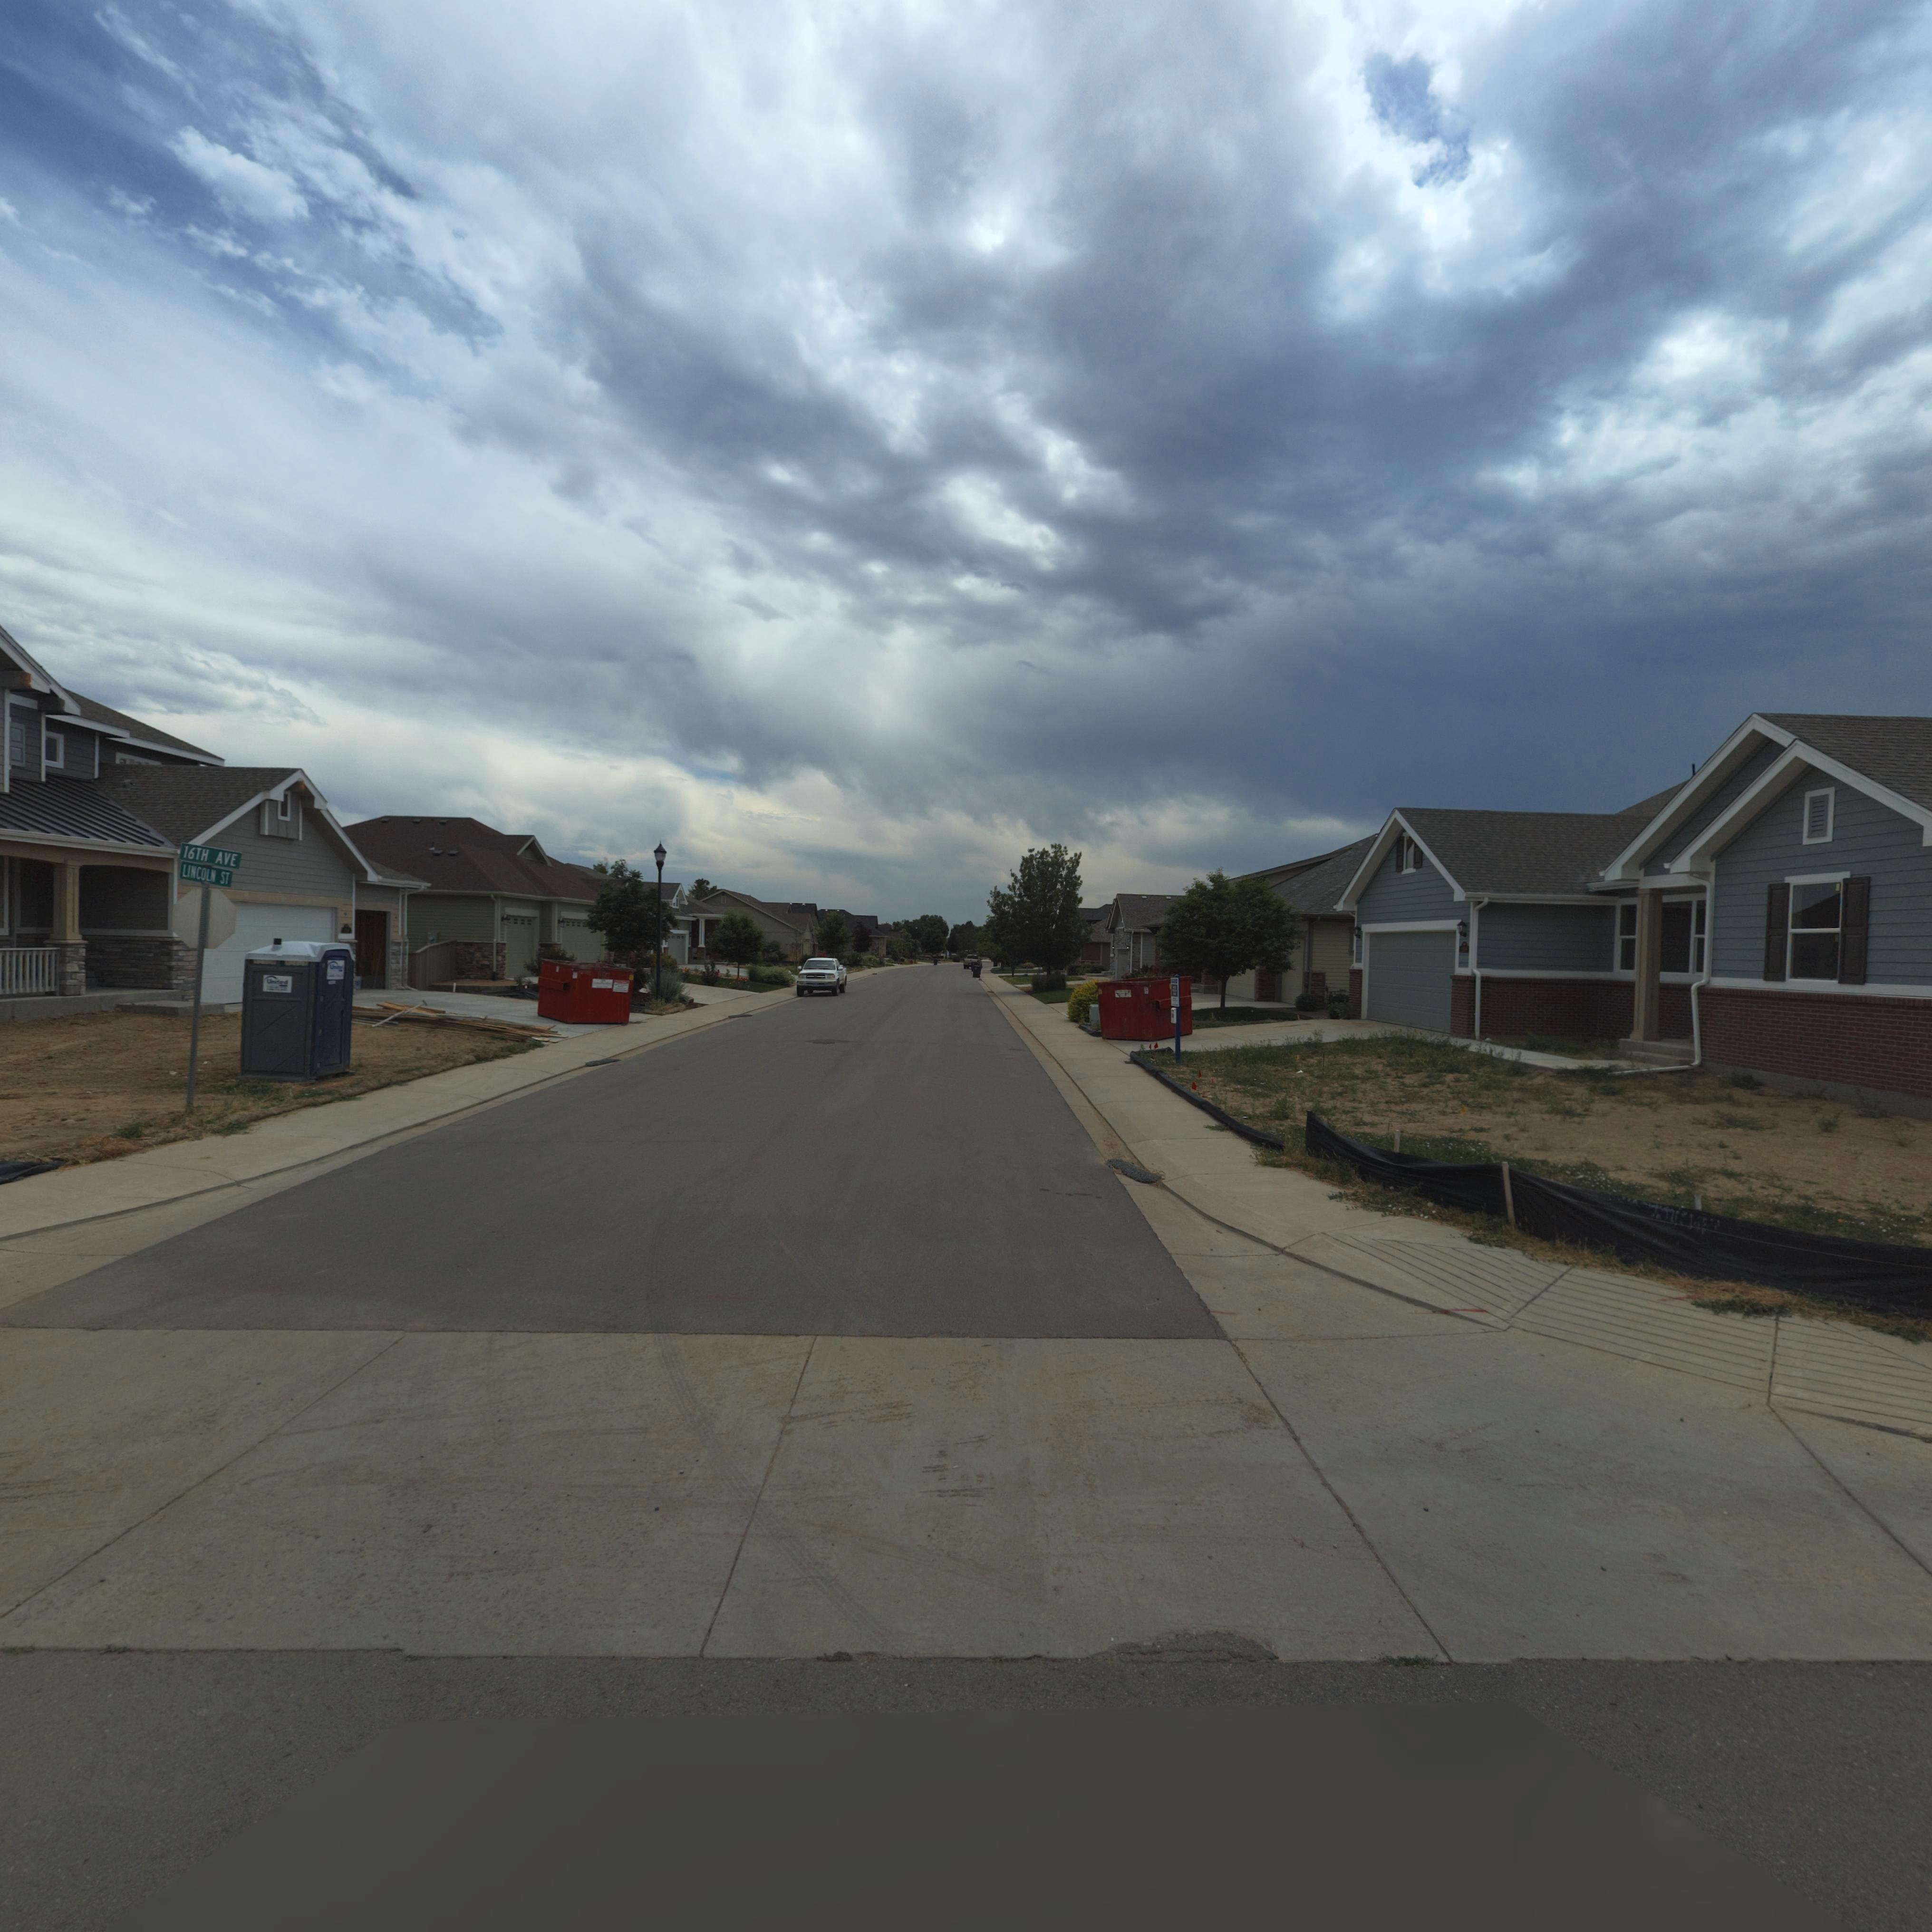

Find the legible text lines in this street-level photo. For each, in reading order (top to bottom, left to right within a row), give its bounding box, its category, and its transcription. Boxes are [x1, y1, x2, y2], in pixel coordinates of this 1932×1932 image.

[182, 845, 238, 867] StreetName: 16TH AVE
[182, 863, 230, 885] StreetName: LINCOLN ST